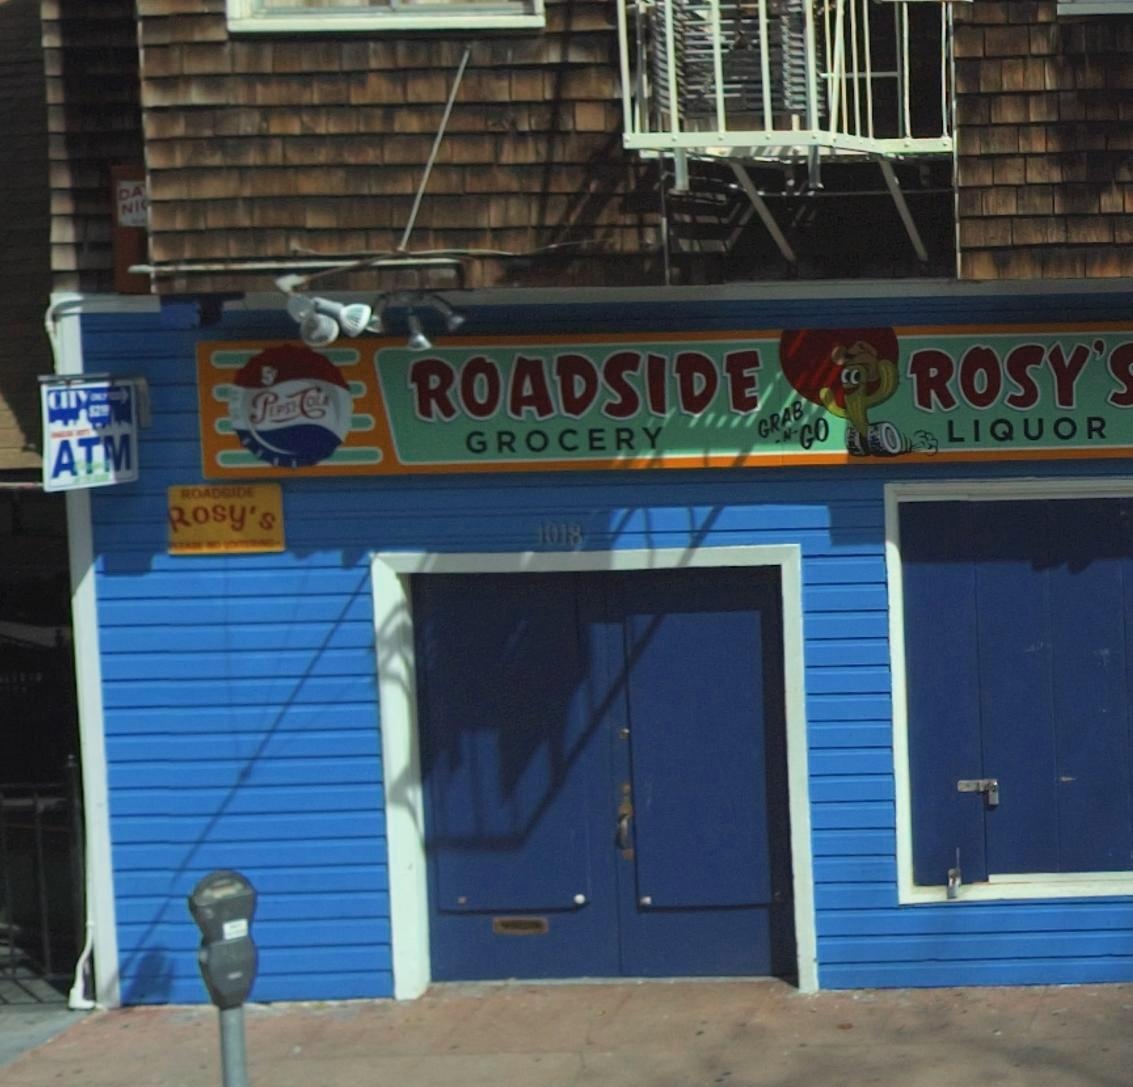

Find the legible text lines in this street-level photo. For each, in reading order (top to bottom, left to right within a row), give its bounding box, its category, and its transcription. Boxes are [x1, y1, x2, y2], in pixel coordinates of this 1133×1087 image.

[117, 183, 146, 203] None: DA
[120, 198, 148, 216] None: NIC
[45, 388, 91, 412] None: CITY
[260, 364, 275, 388] None: 5
[247, 383, 334, 427] BusinessName: Pepsi Cola
[464, 424, 668, 455] None: GROCERY
[402, 346, 764, 426] BusinessName: ROADSIDE
[754, 396, 806, 440] None: GRAB
[782, 425, 794, 444] None: N
[799, 415, 832, 451] None: GO
[902, 336, 1095, 415] BusinessName: ROSY'
[944, 415, 1109, 445] None: LIQUOR
[49, 431, 135, 479] None: ATM
[178, 486, 258, 502] BusinessName: ROADSIDE
[205, 539, 222, 550] None: NO
[165, 503, 281, 535] BusinessName: Rosy's
[537, 519, 585, 548] StreetNumber: 1018